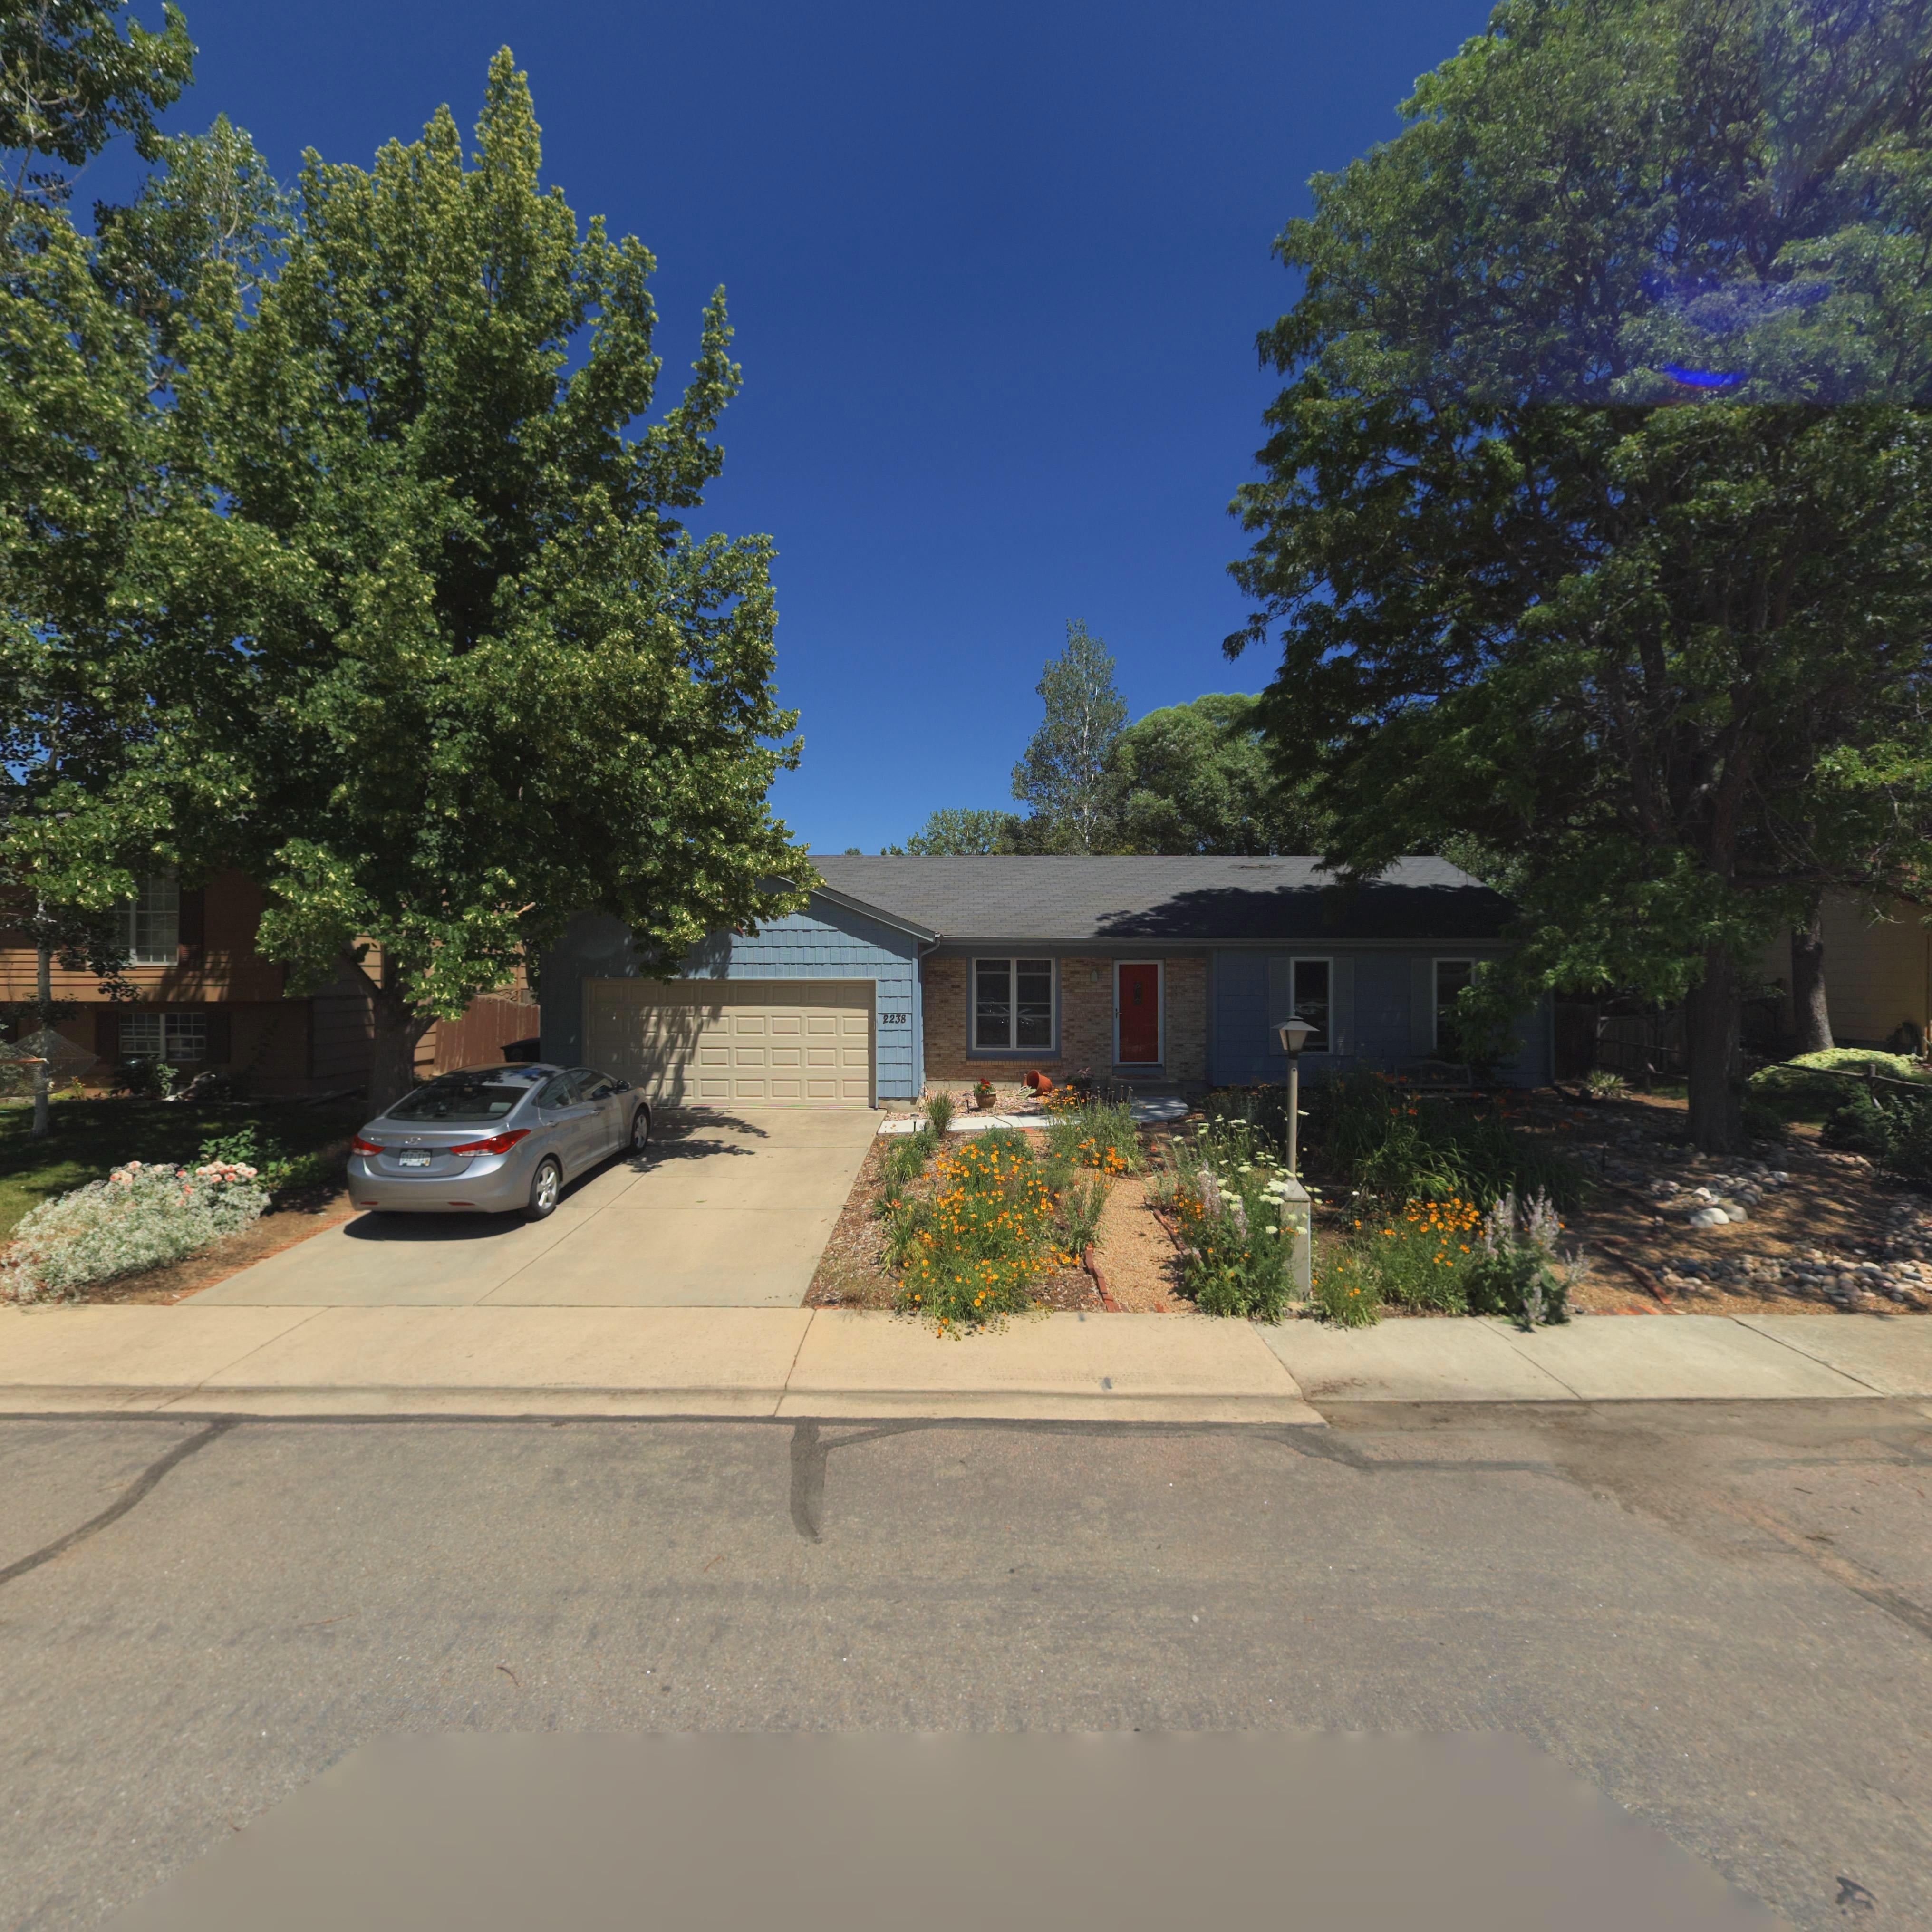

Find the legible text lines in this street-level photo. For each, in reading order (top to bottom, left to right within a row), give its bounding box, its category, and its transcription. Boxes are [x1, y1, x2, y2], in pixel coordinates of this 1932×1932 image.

[882, 1014, 906, 1024] BusinessName: 2238